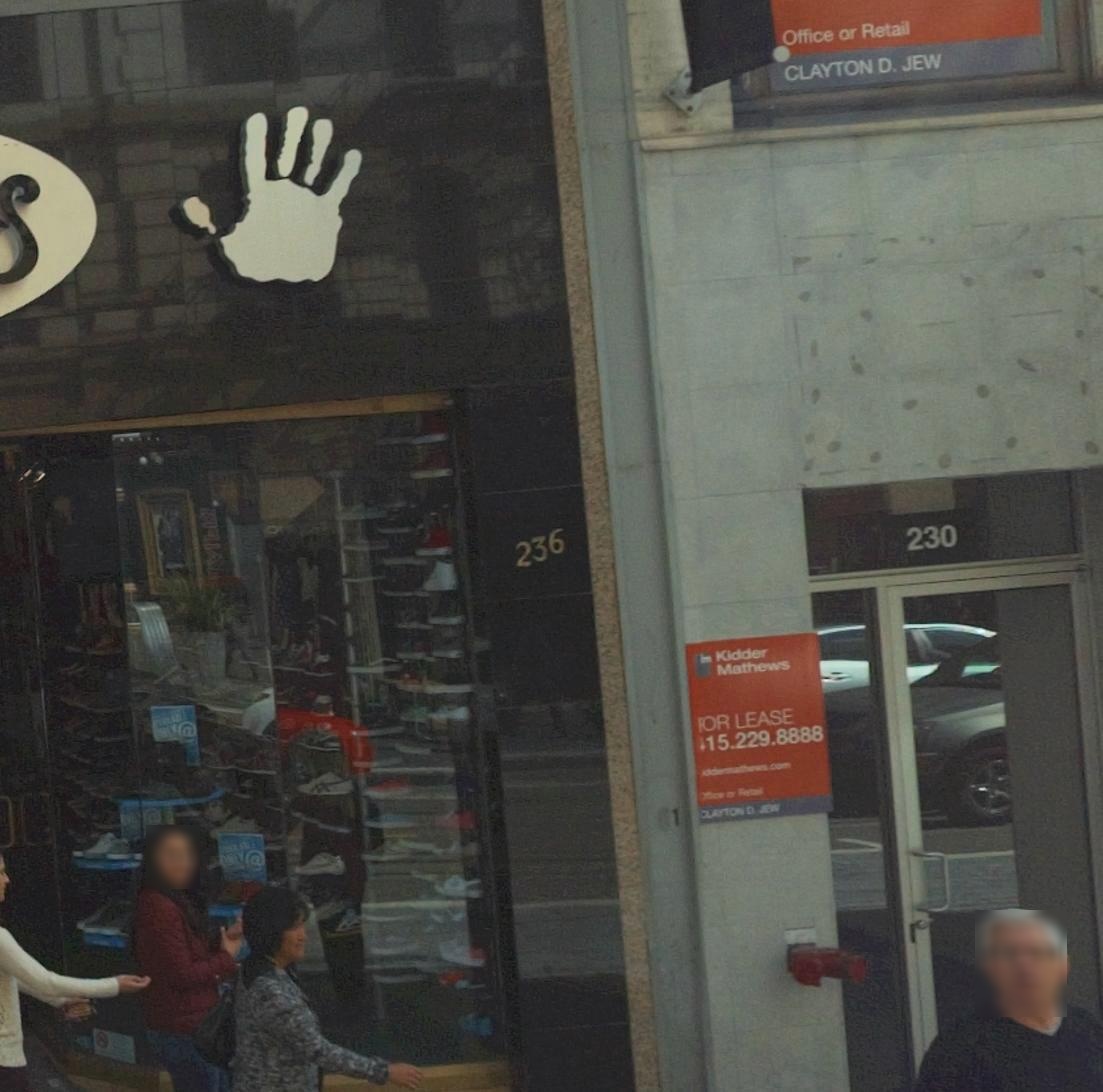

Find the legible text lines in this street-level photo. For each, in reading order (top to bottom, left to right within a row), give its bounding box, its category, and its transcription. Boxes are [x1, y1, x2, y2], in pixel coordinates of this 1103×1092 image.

[778, 16, 916, 49] None: Office or Retail
[781, 48, 949, 86] None: CLAYTON D. JEW
[511, 520, 570, 579] StreetNumber: 236
[903, 521, 961, 554] StreetNumber: 230
[712, 642, 772, 666] None: Kiddler
[714, 657, 795, 682] None: Mathews
[697, 704, 800, 737] None: OR LEASE
[701, 720, 829, 757] None: 152298888
[697, 800, 784, 822] None: CLAYTON D. JEW